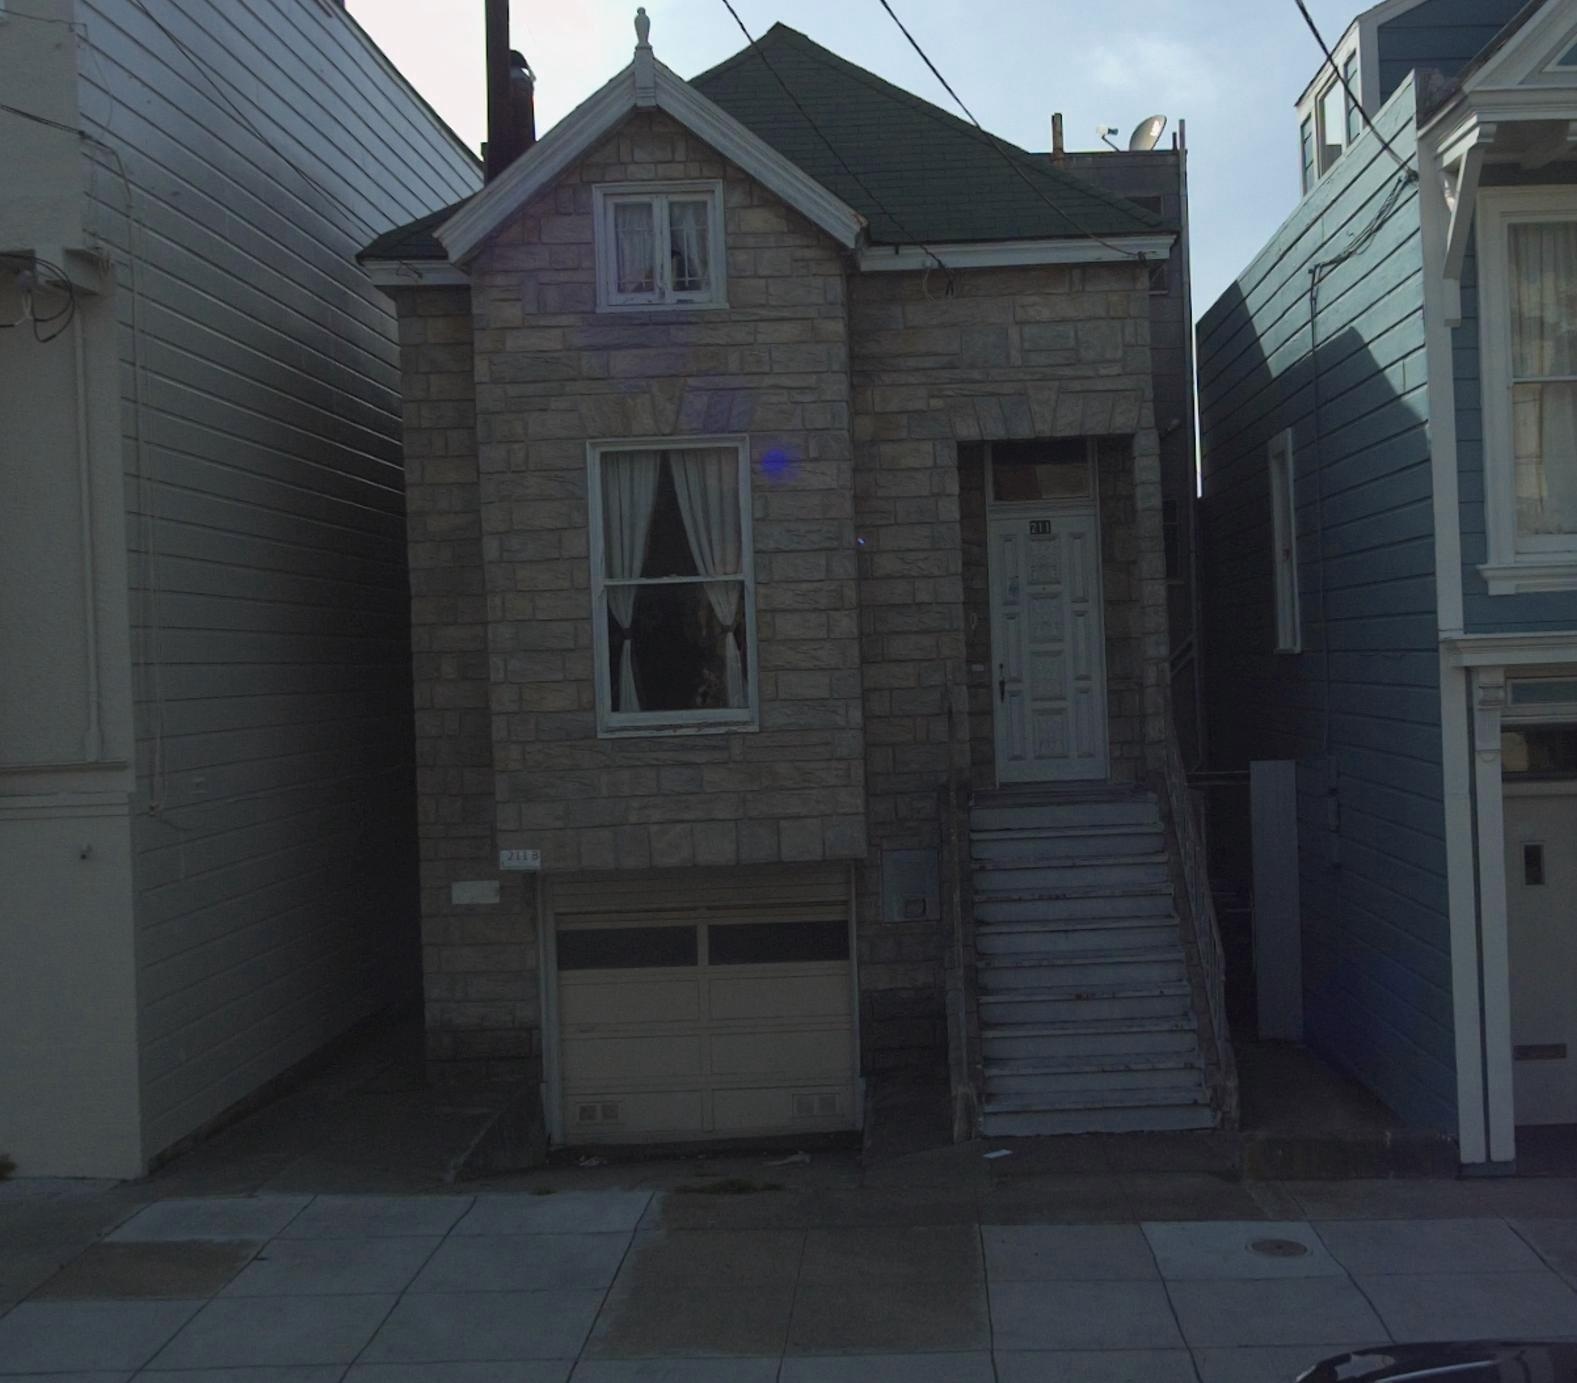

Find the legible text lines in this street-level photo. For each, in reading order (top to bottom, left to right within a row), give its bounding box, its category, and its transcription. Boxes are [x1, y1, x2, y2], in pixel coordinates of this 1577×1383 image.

[1029, 521, 1051, 534] StreetNumber: 211
[506, 849, 540, 862] StreetNumber: 211 B